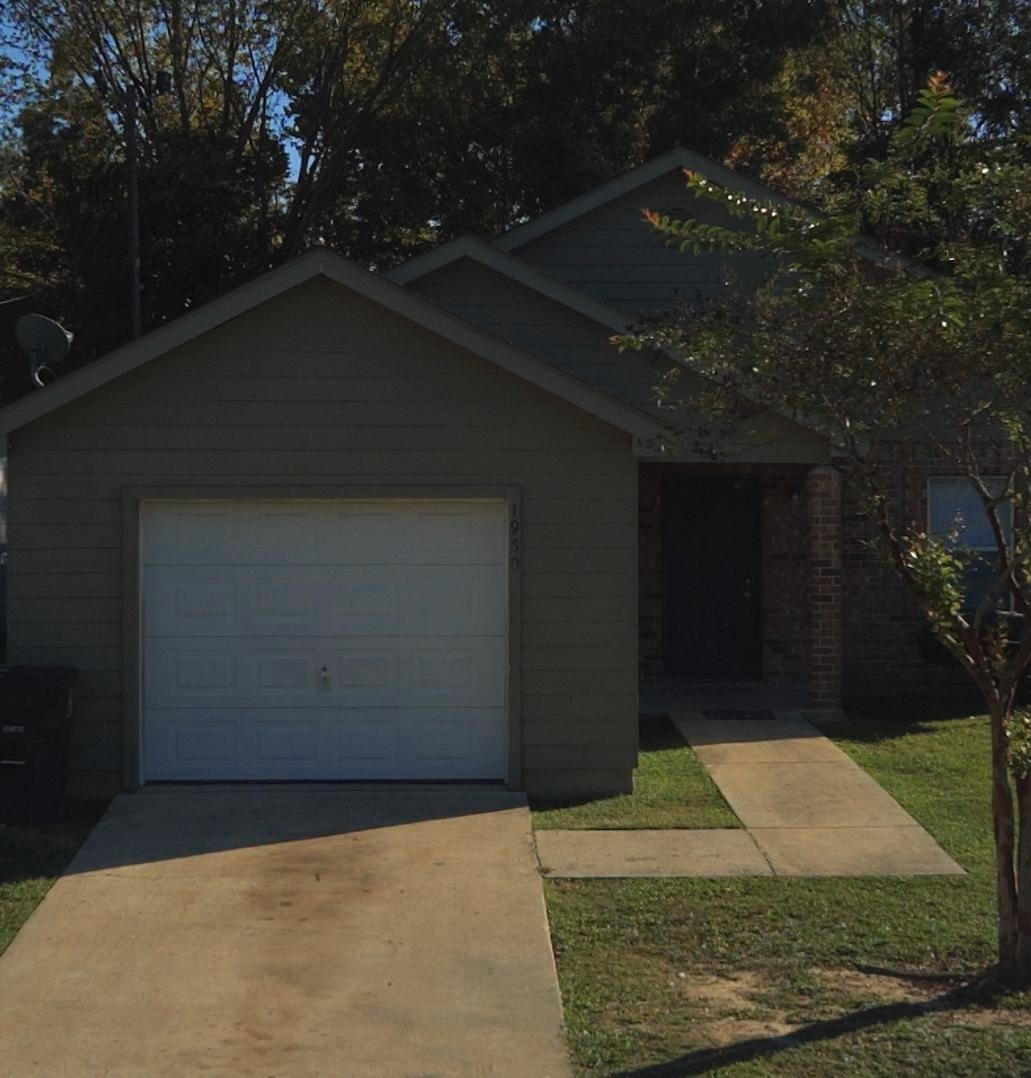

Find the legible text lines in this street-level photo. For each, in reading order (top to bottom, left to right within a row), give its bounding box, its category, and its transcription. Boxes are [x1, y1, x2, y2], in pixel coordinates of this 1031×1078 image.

[509, 501, 522, 572] StreetNumber: 1950